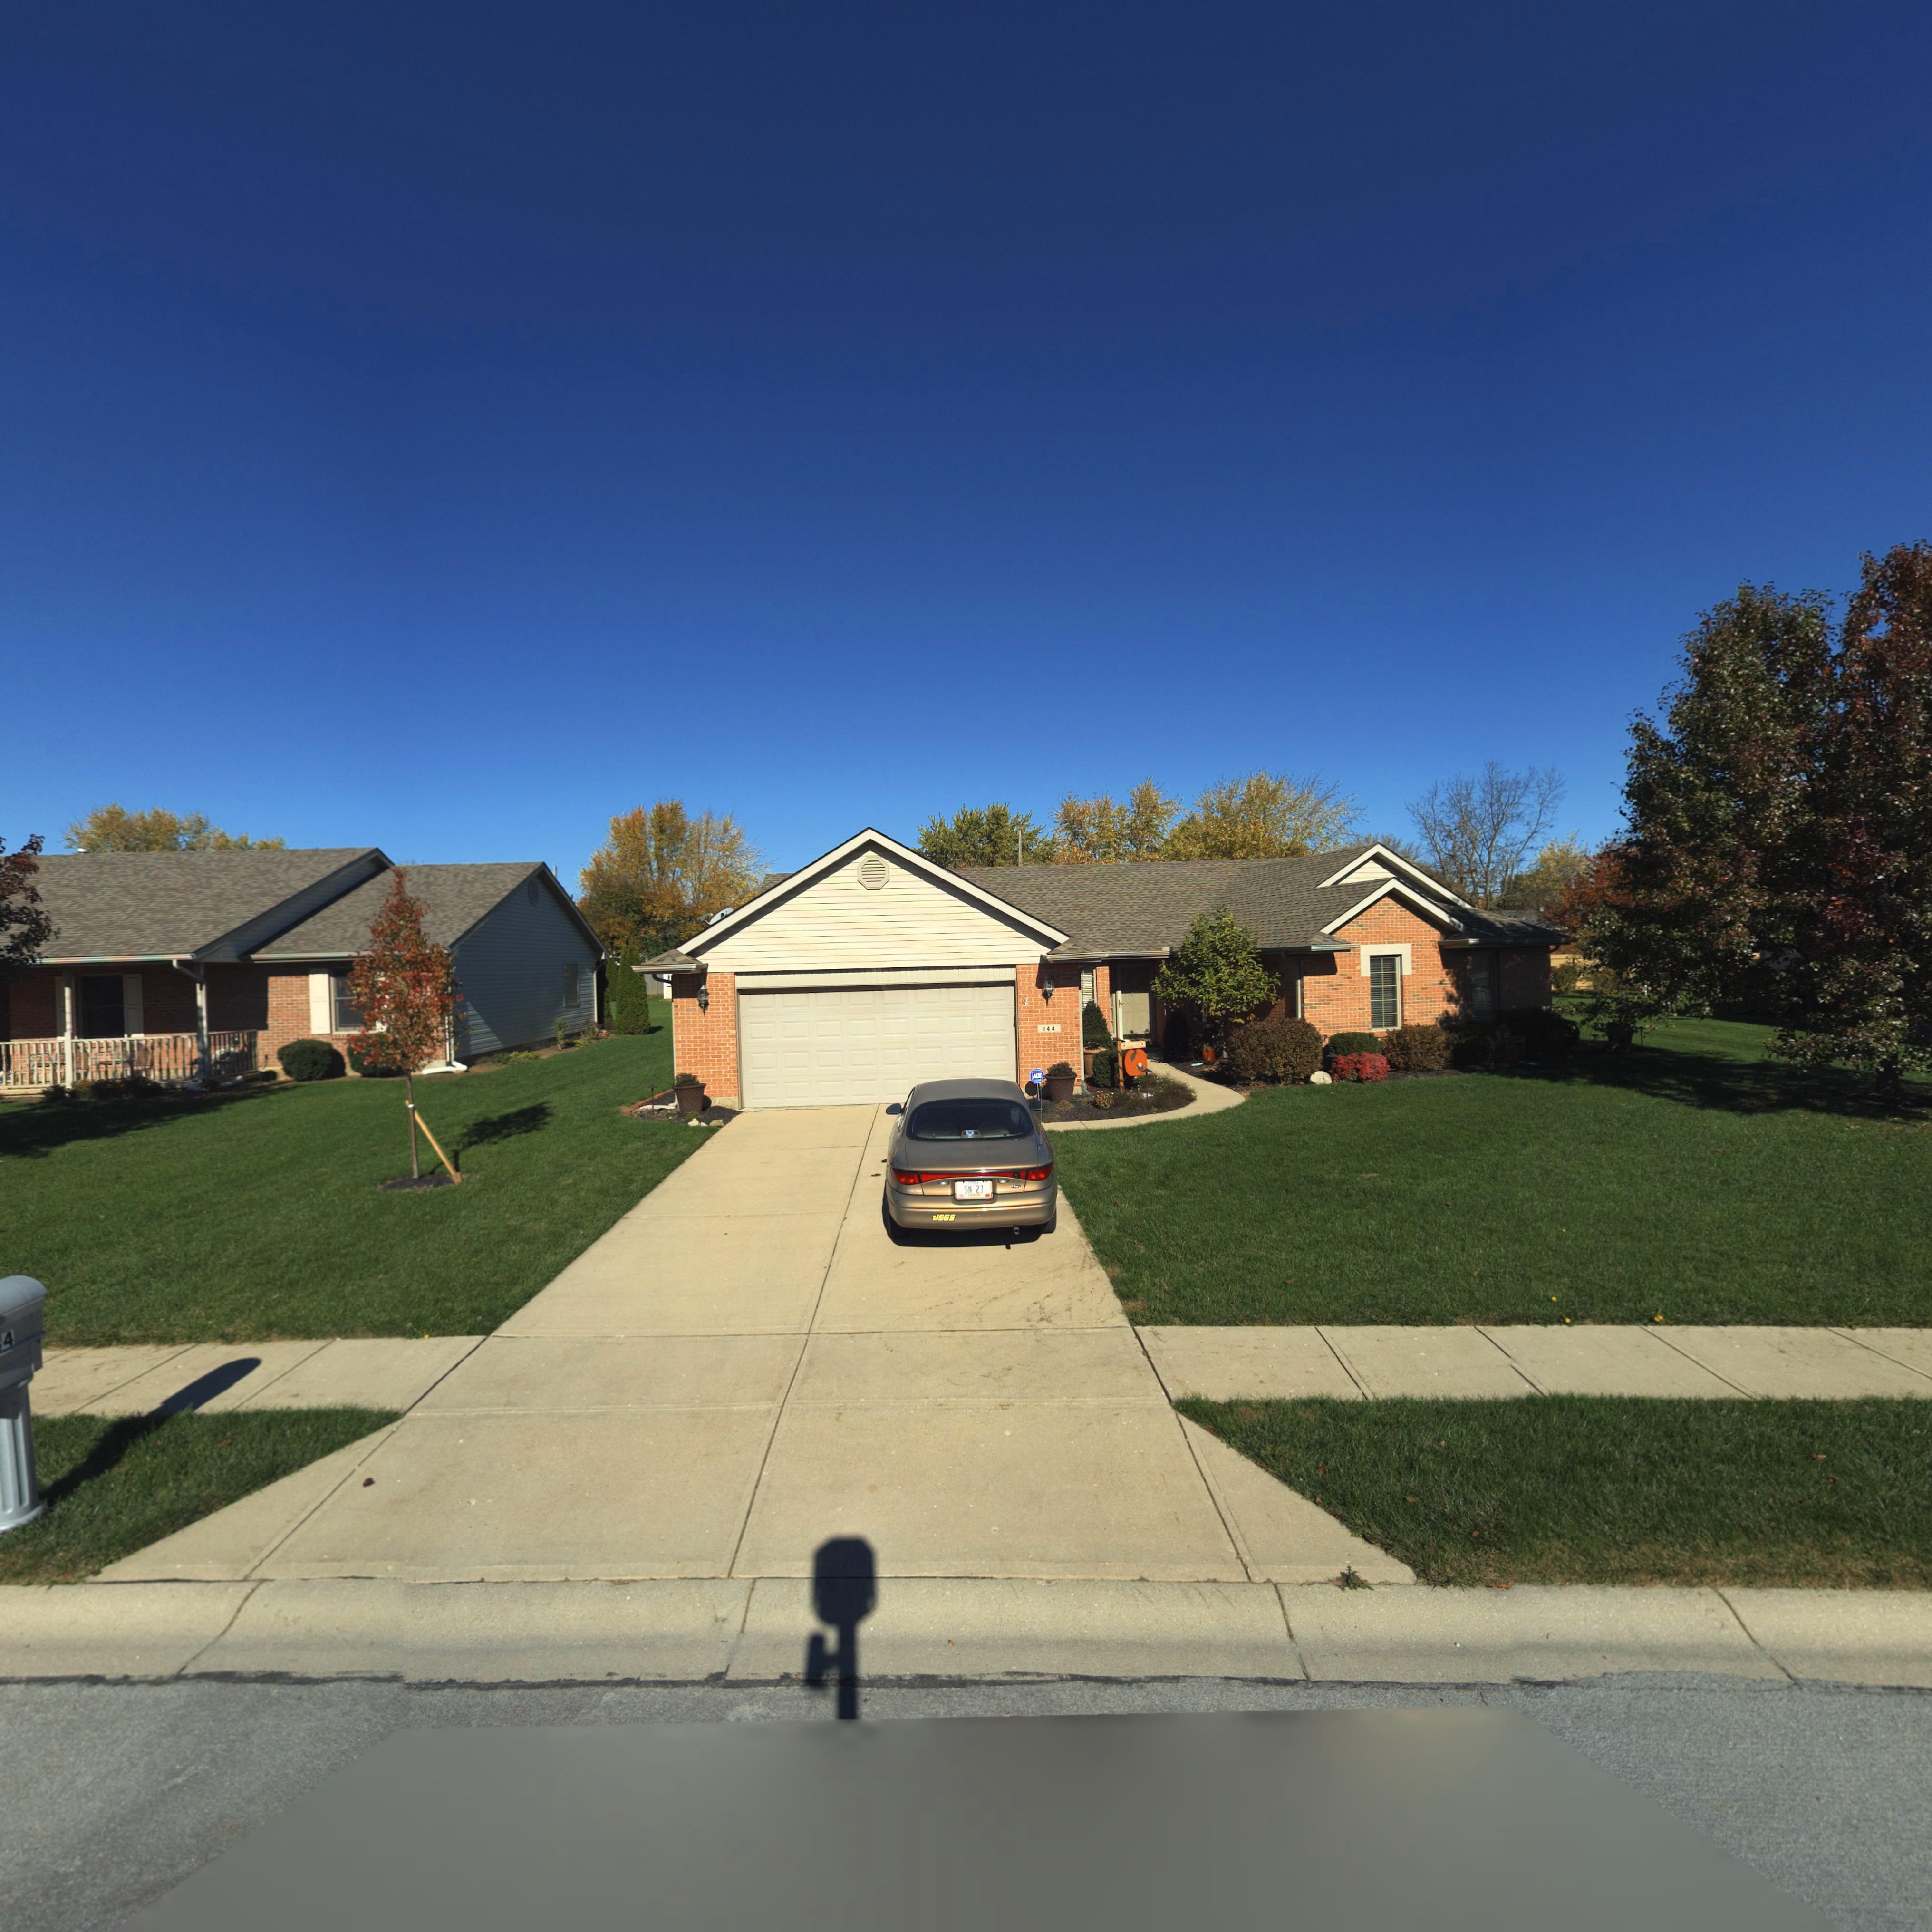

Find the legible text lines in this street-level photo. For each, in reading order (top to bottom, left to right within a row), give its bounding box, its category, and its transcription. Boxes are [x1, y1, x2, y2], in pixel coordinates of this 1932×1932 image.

[1043, 1026, 1055, 1032] StreetNumber: 144
[962, 1184, 984, 1194] None: SN 27
[931, 1212, 956, 1222] None: JEGS
[2, 1329, 15, 1348] StreetNumber: 4